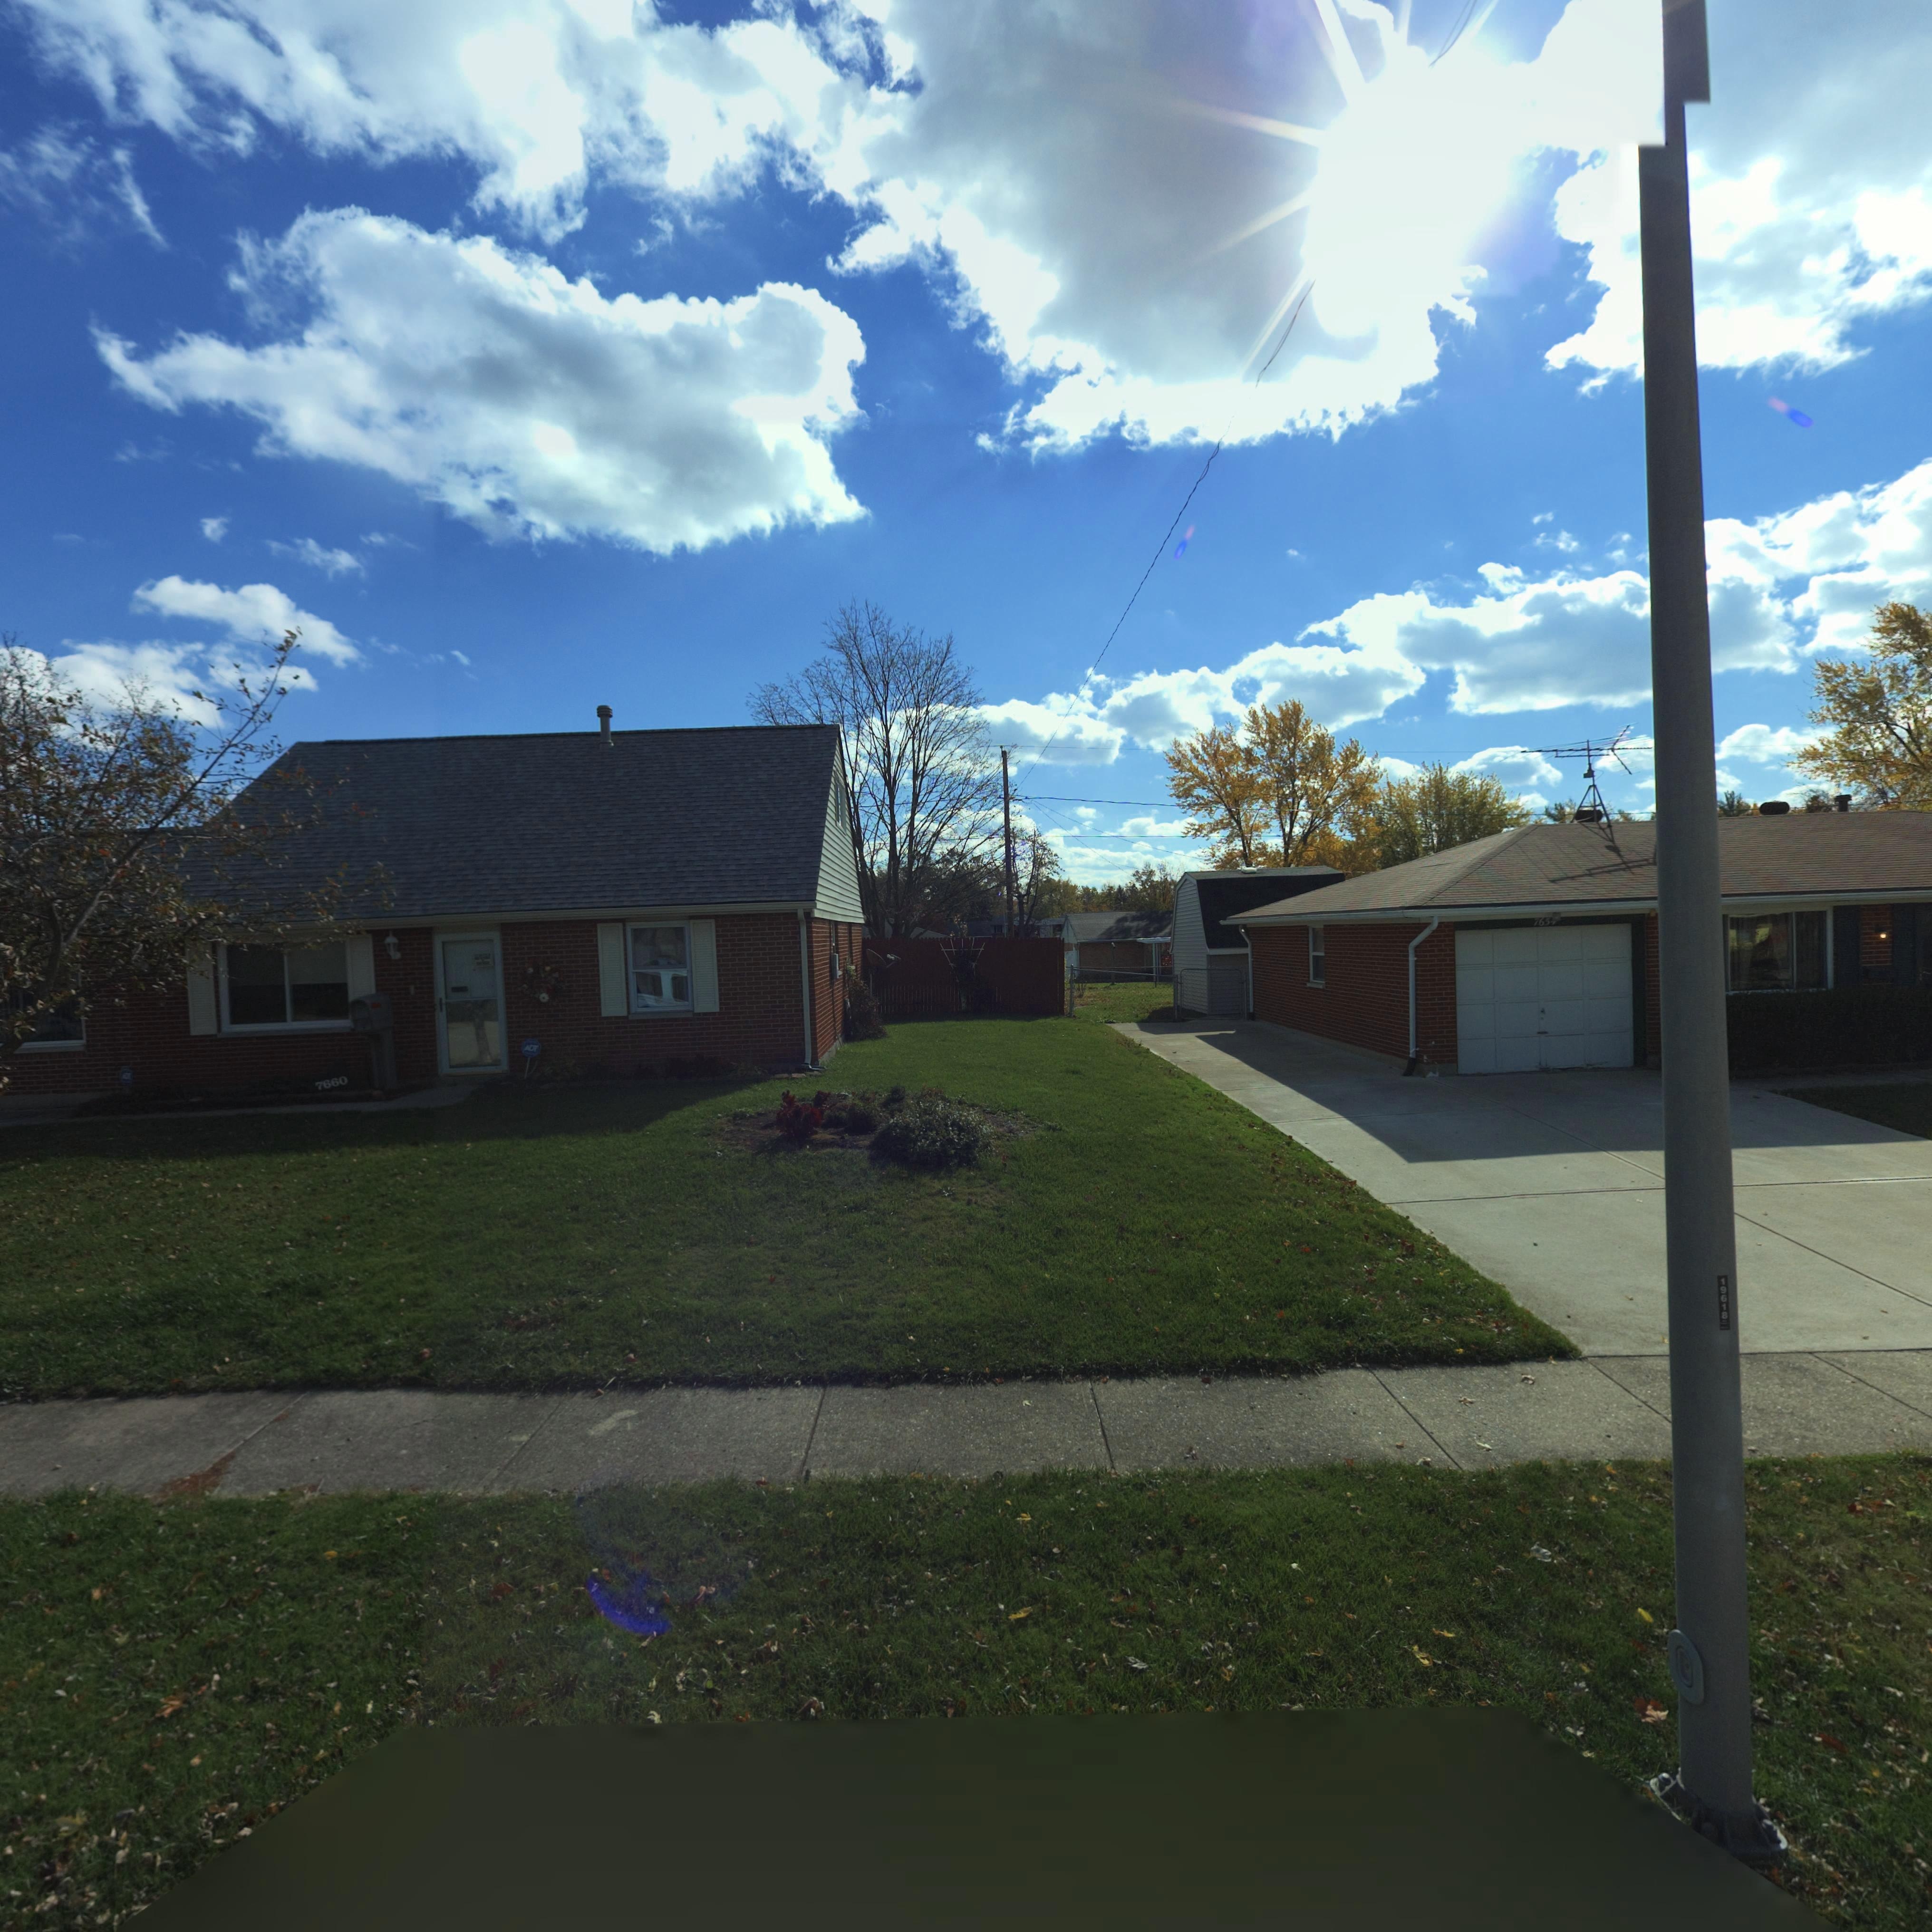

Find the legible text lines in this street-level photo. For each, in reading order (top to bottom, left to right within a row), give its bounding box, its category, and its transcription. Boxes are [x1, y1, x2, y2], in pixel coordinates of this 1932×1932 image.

[1533, 917, 1551, 927] StreetNumber: 765
[314, 1075, 349, 1091] StreetNumber: 7660